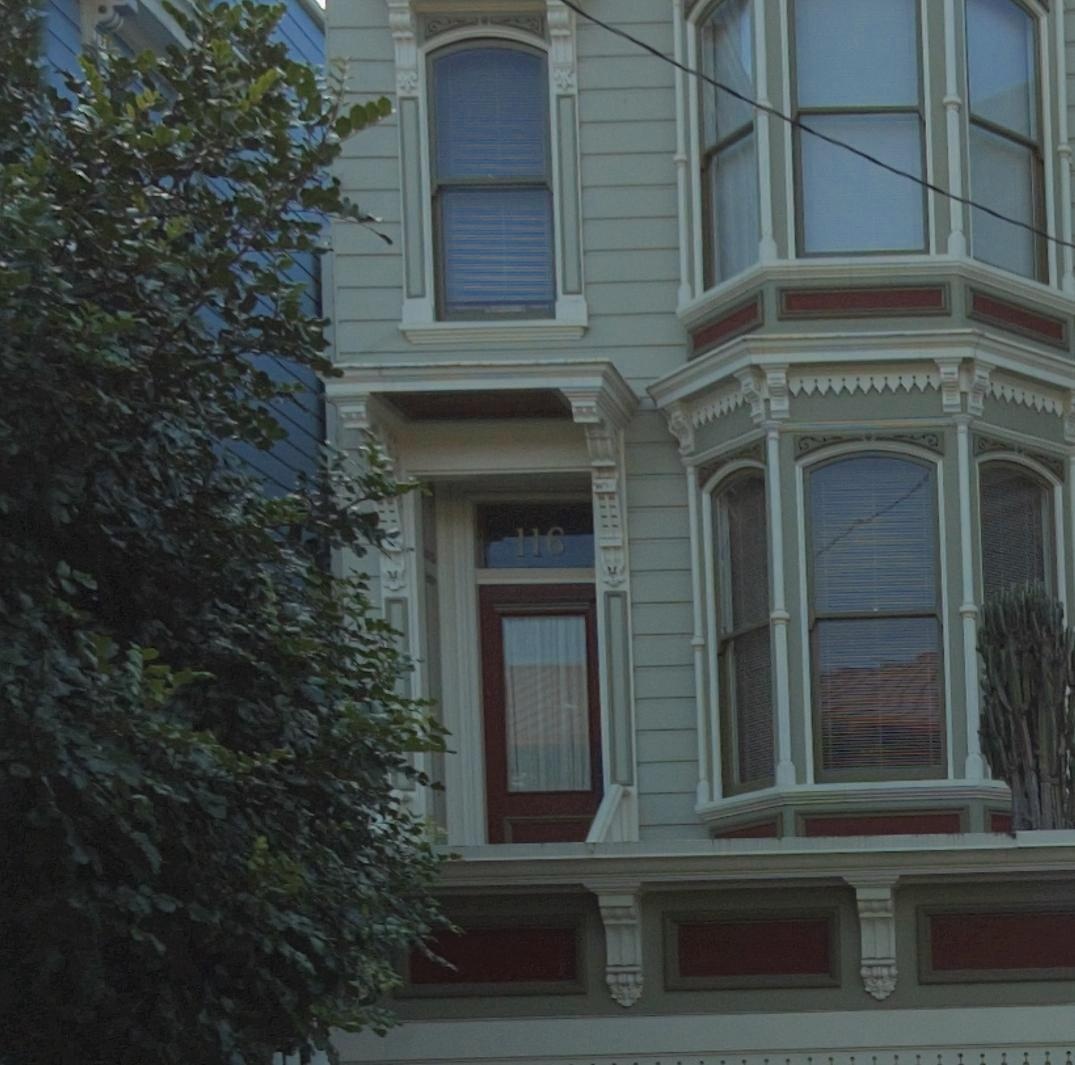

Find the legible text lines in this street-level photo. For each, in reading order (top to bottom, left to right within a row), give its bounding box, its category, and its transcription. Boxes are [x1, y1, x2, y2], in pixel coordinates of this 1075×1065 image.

[514, 525, 568, 557] StreetNumber: 116